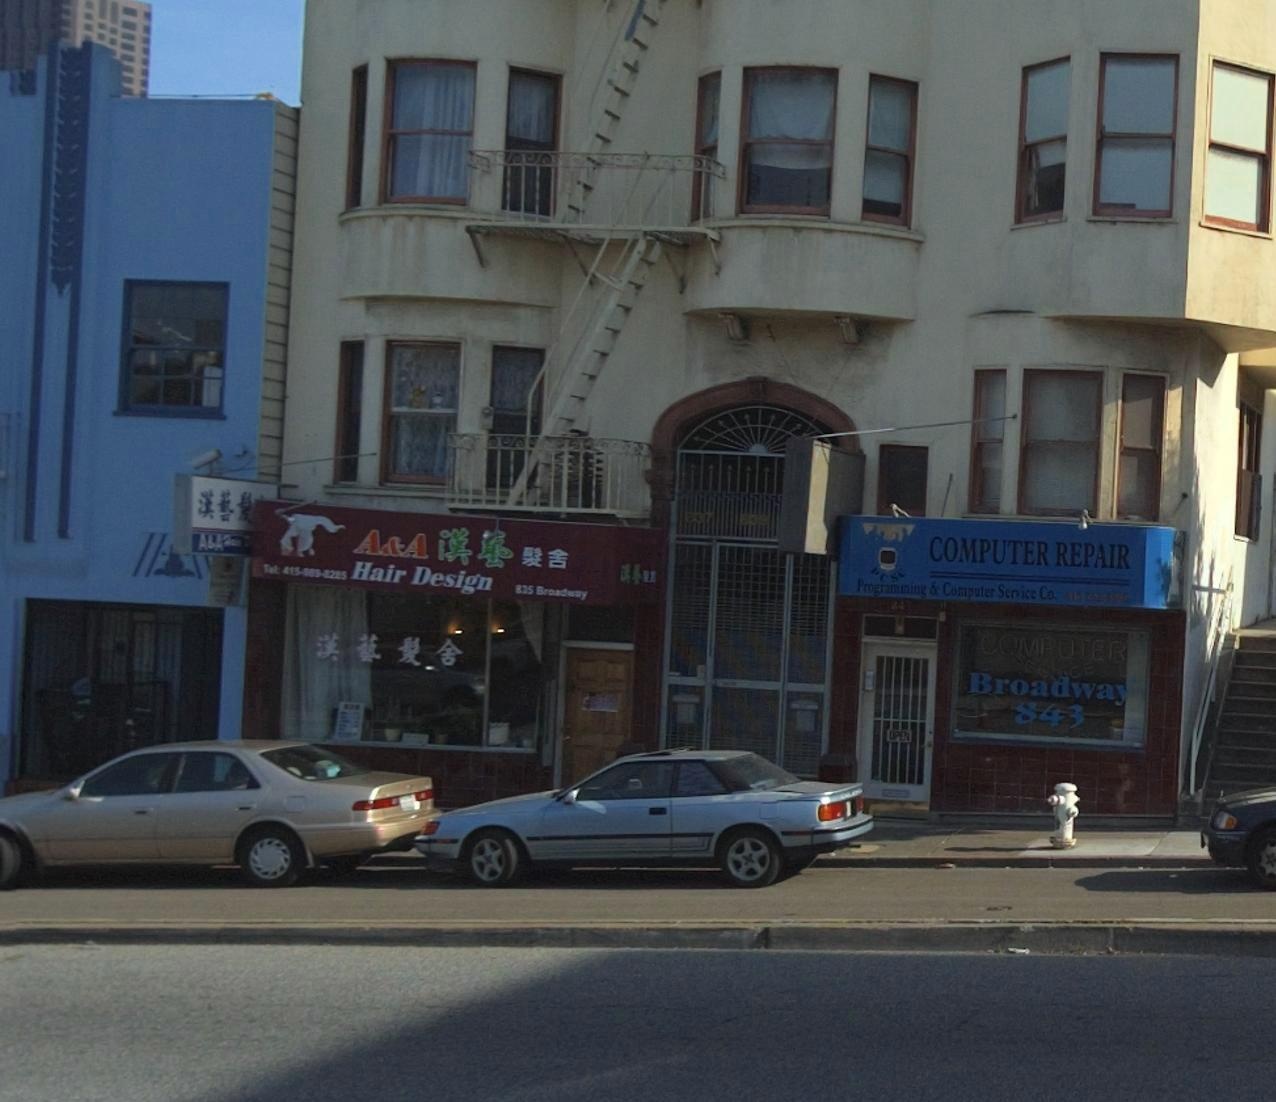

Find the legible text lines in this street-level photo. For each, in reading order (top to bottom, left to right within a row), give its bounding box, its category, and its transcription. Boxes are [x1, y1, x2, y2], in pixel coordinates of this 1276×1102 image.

[683, 510, 713, 527] StreetNumber: 837
[739, 512, 769, 528] StreetNumber: 839
[197, 532, 226, 554] BusinessName: A&A
[349, 527, 430, 561] BusinessName: A&A
[928, 534, 1133, 571] BusinessName: COMPUTER REPAIRS
[282, 564, 301, 577] None: 415
[348, 558, 497, 596] BusinessName: Hair Design
[513, 583, 535, 596] StreetNumber: 835
[535, 584, 589, 602] StreetName: Broadway
[855, 576, 1057, 601] None: Programming & Computer Service CO.
[979, 632, 1129, 664] None: COMPUTER
[968, 670, 1128, 708] StreetName: Broadway
[1013, 698, 1087, 730] StreetNumber: 843